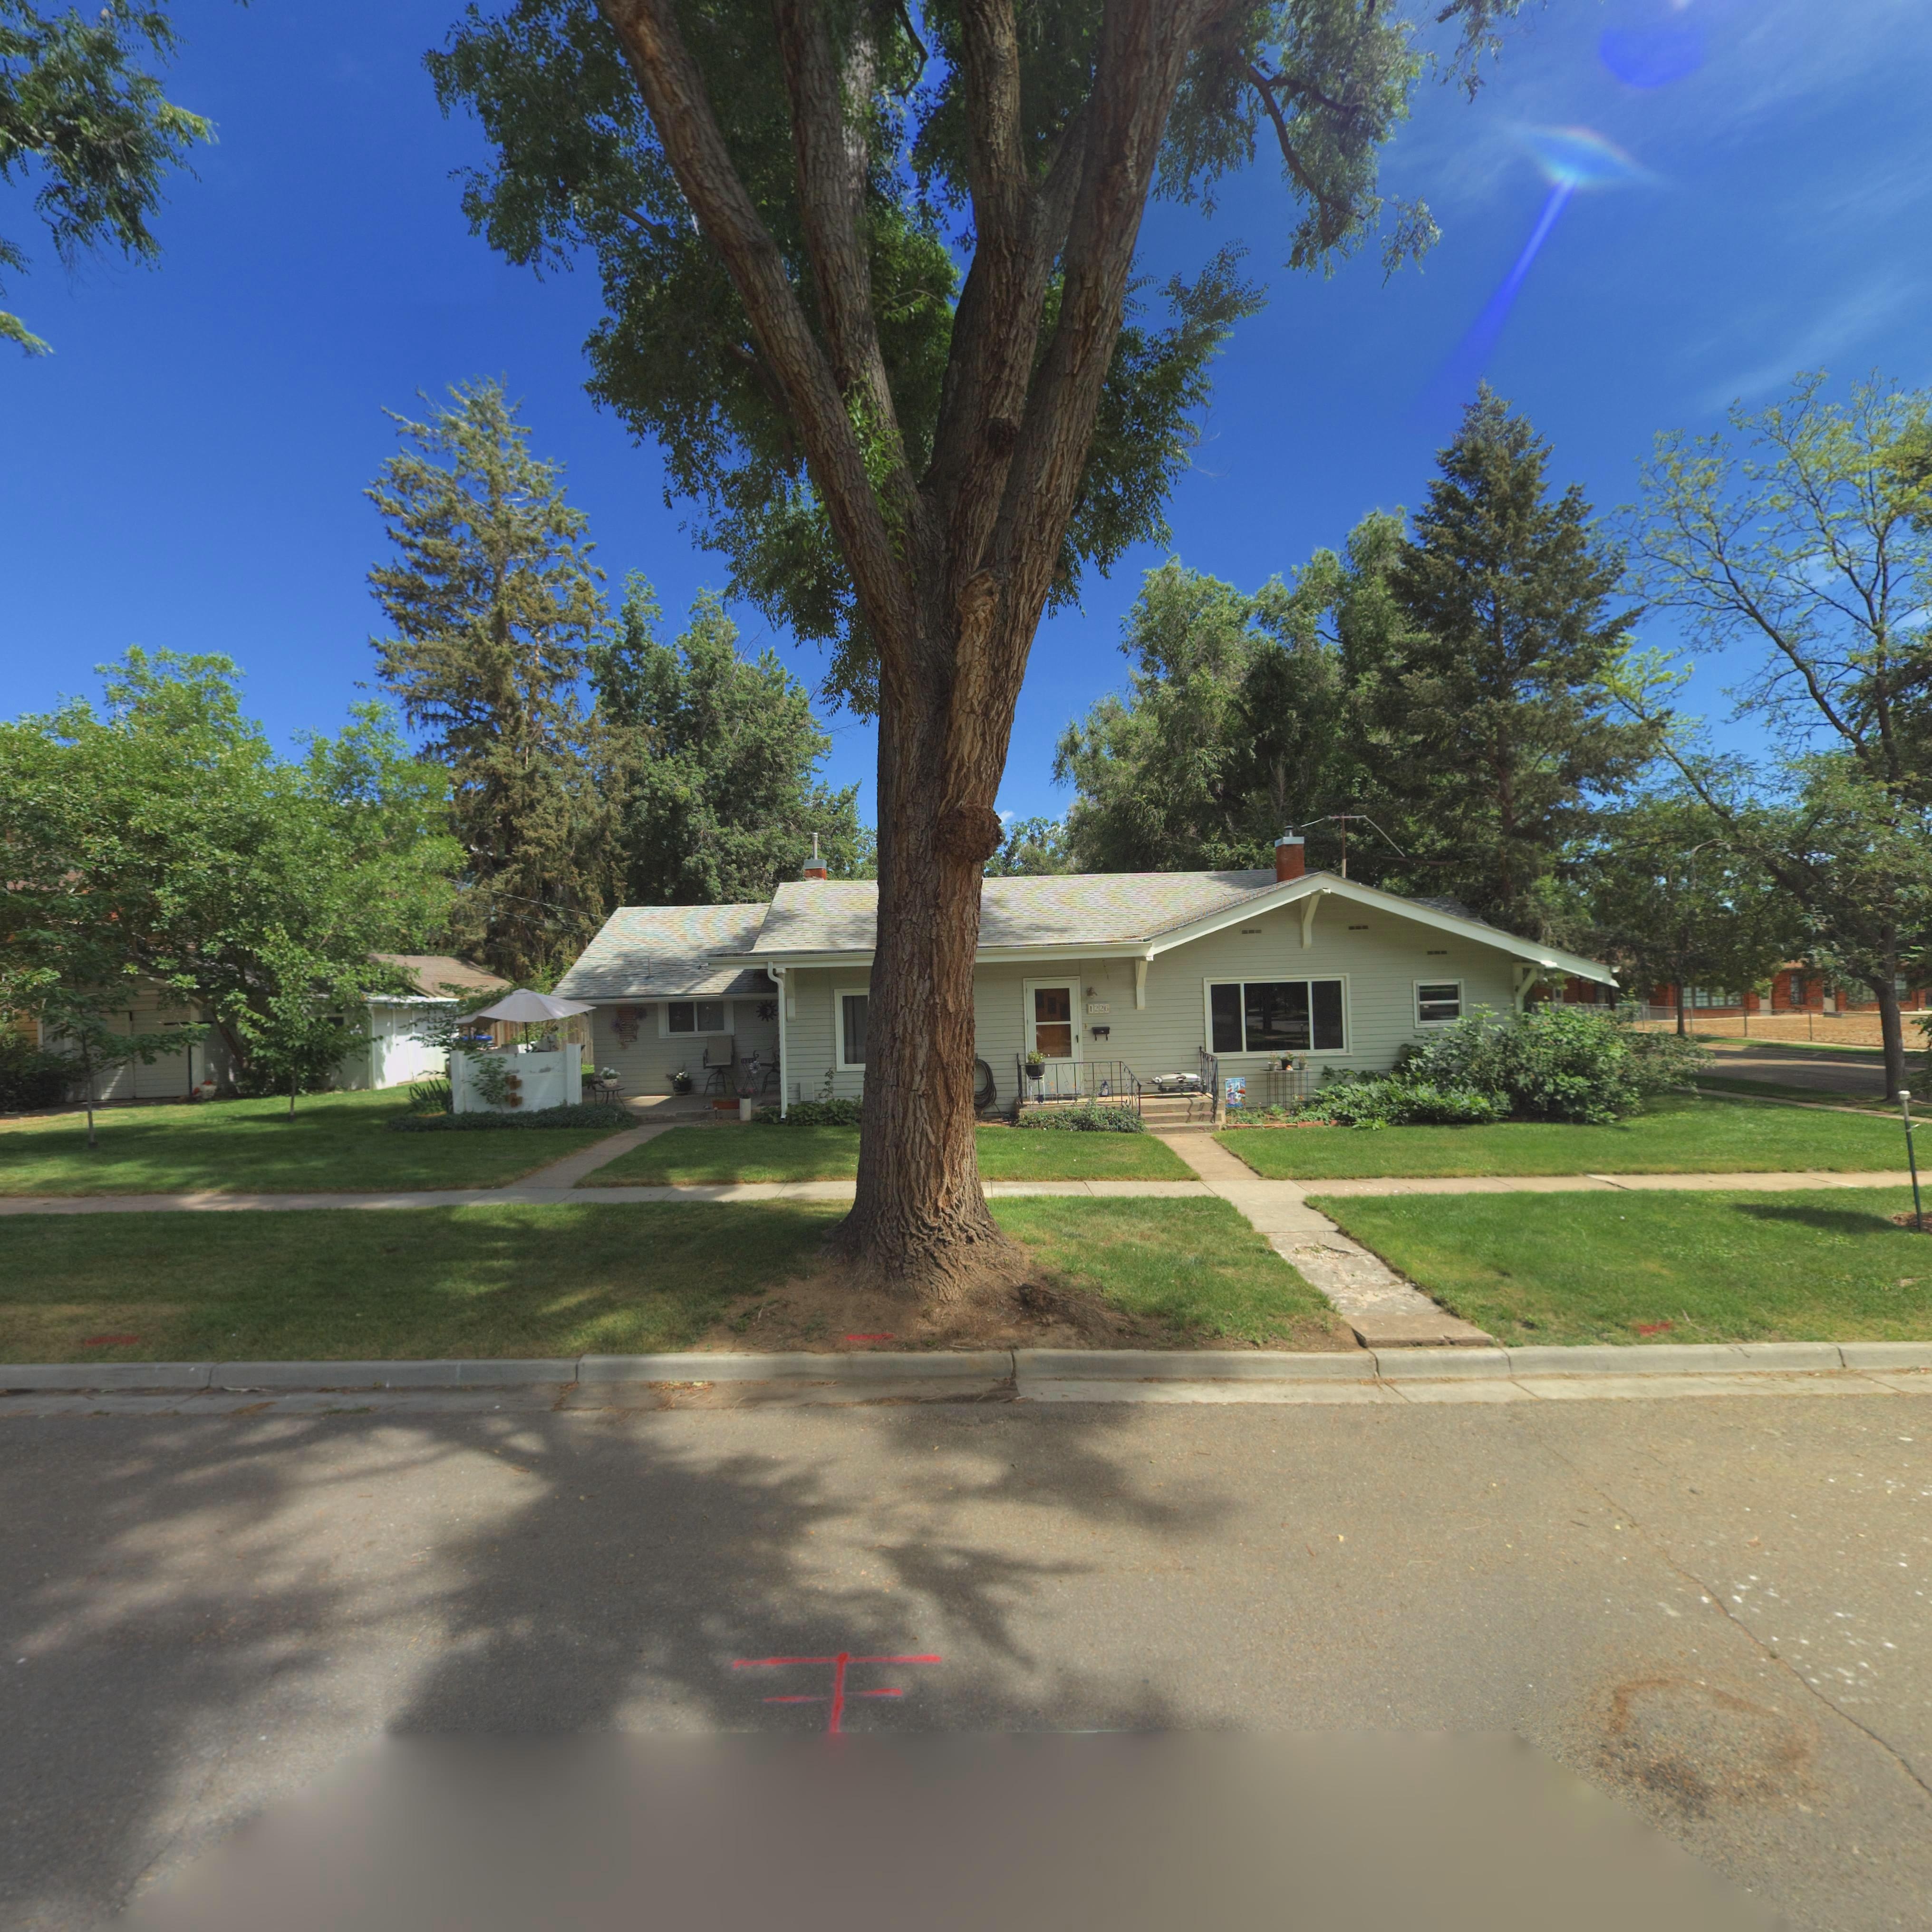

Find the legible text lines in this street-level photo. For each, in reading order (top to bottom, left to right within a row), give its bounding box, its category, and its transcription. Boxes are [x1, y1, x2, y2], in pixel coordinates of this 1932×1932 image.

[1090, 1005, 1109, 1012] StreetNumber: 1226